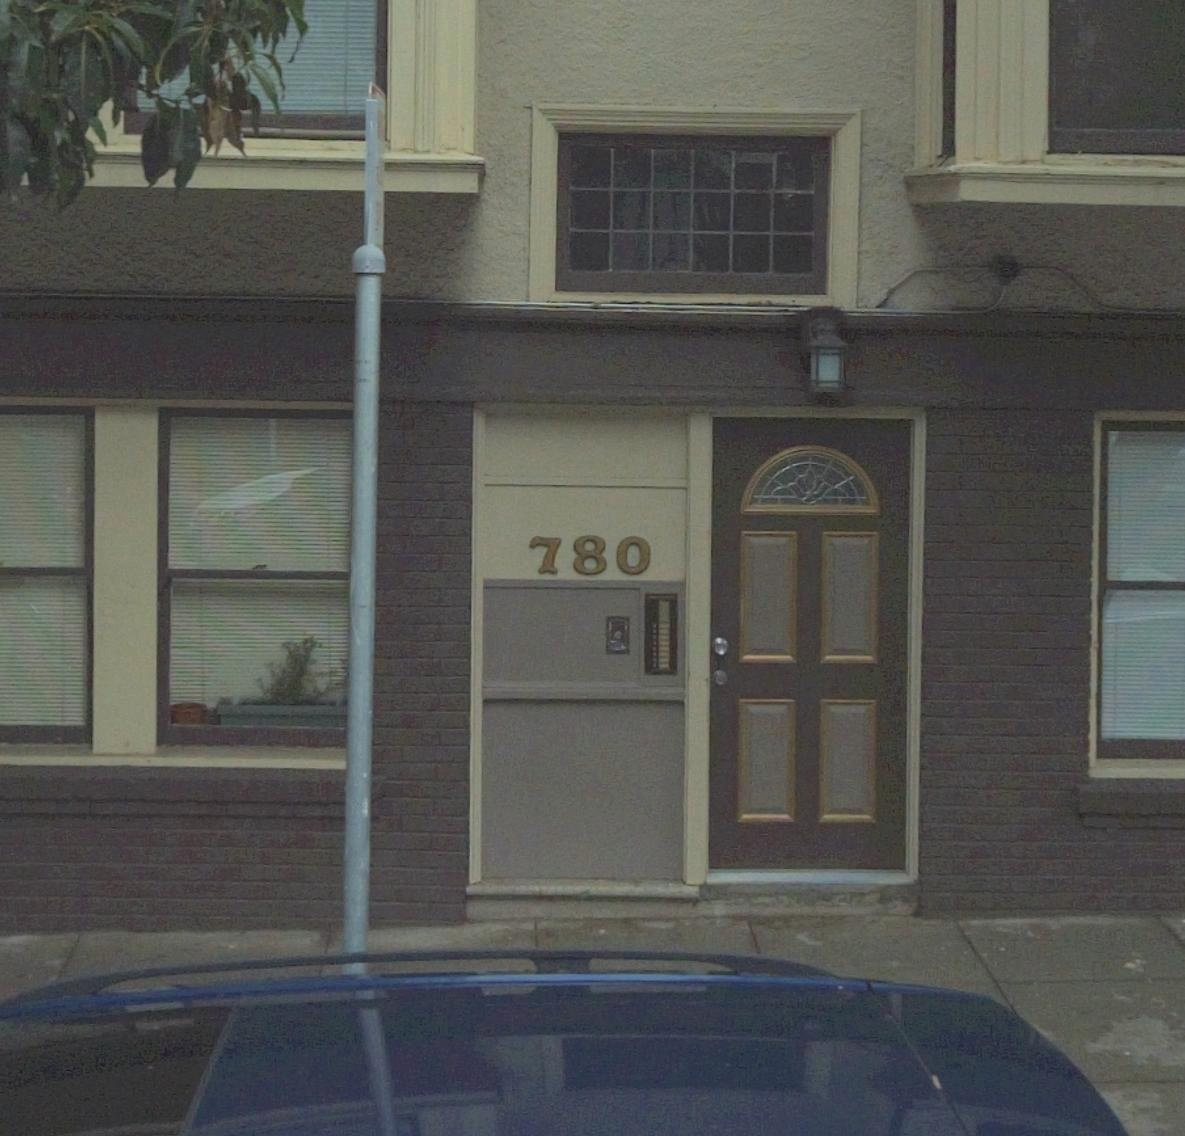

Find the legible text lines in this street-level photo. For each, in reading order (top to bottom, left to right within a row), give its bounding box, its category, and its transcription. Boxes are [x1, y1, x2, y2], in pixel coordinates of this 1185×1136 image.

[526, 533, 653, 578] StreetNumber: 780